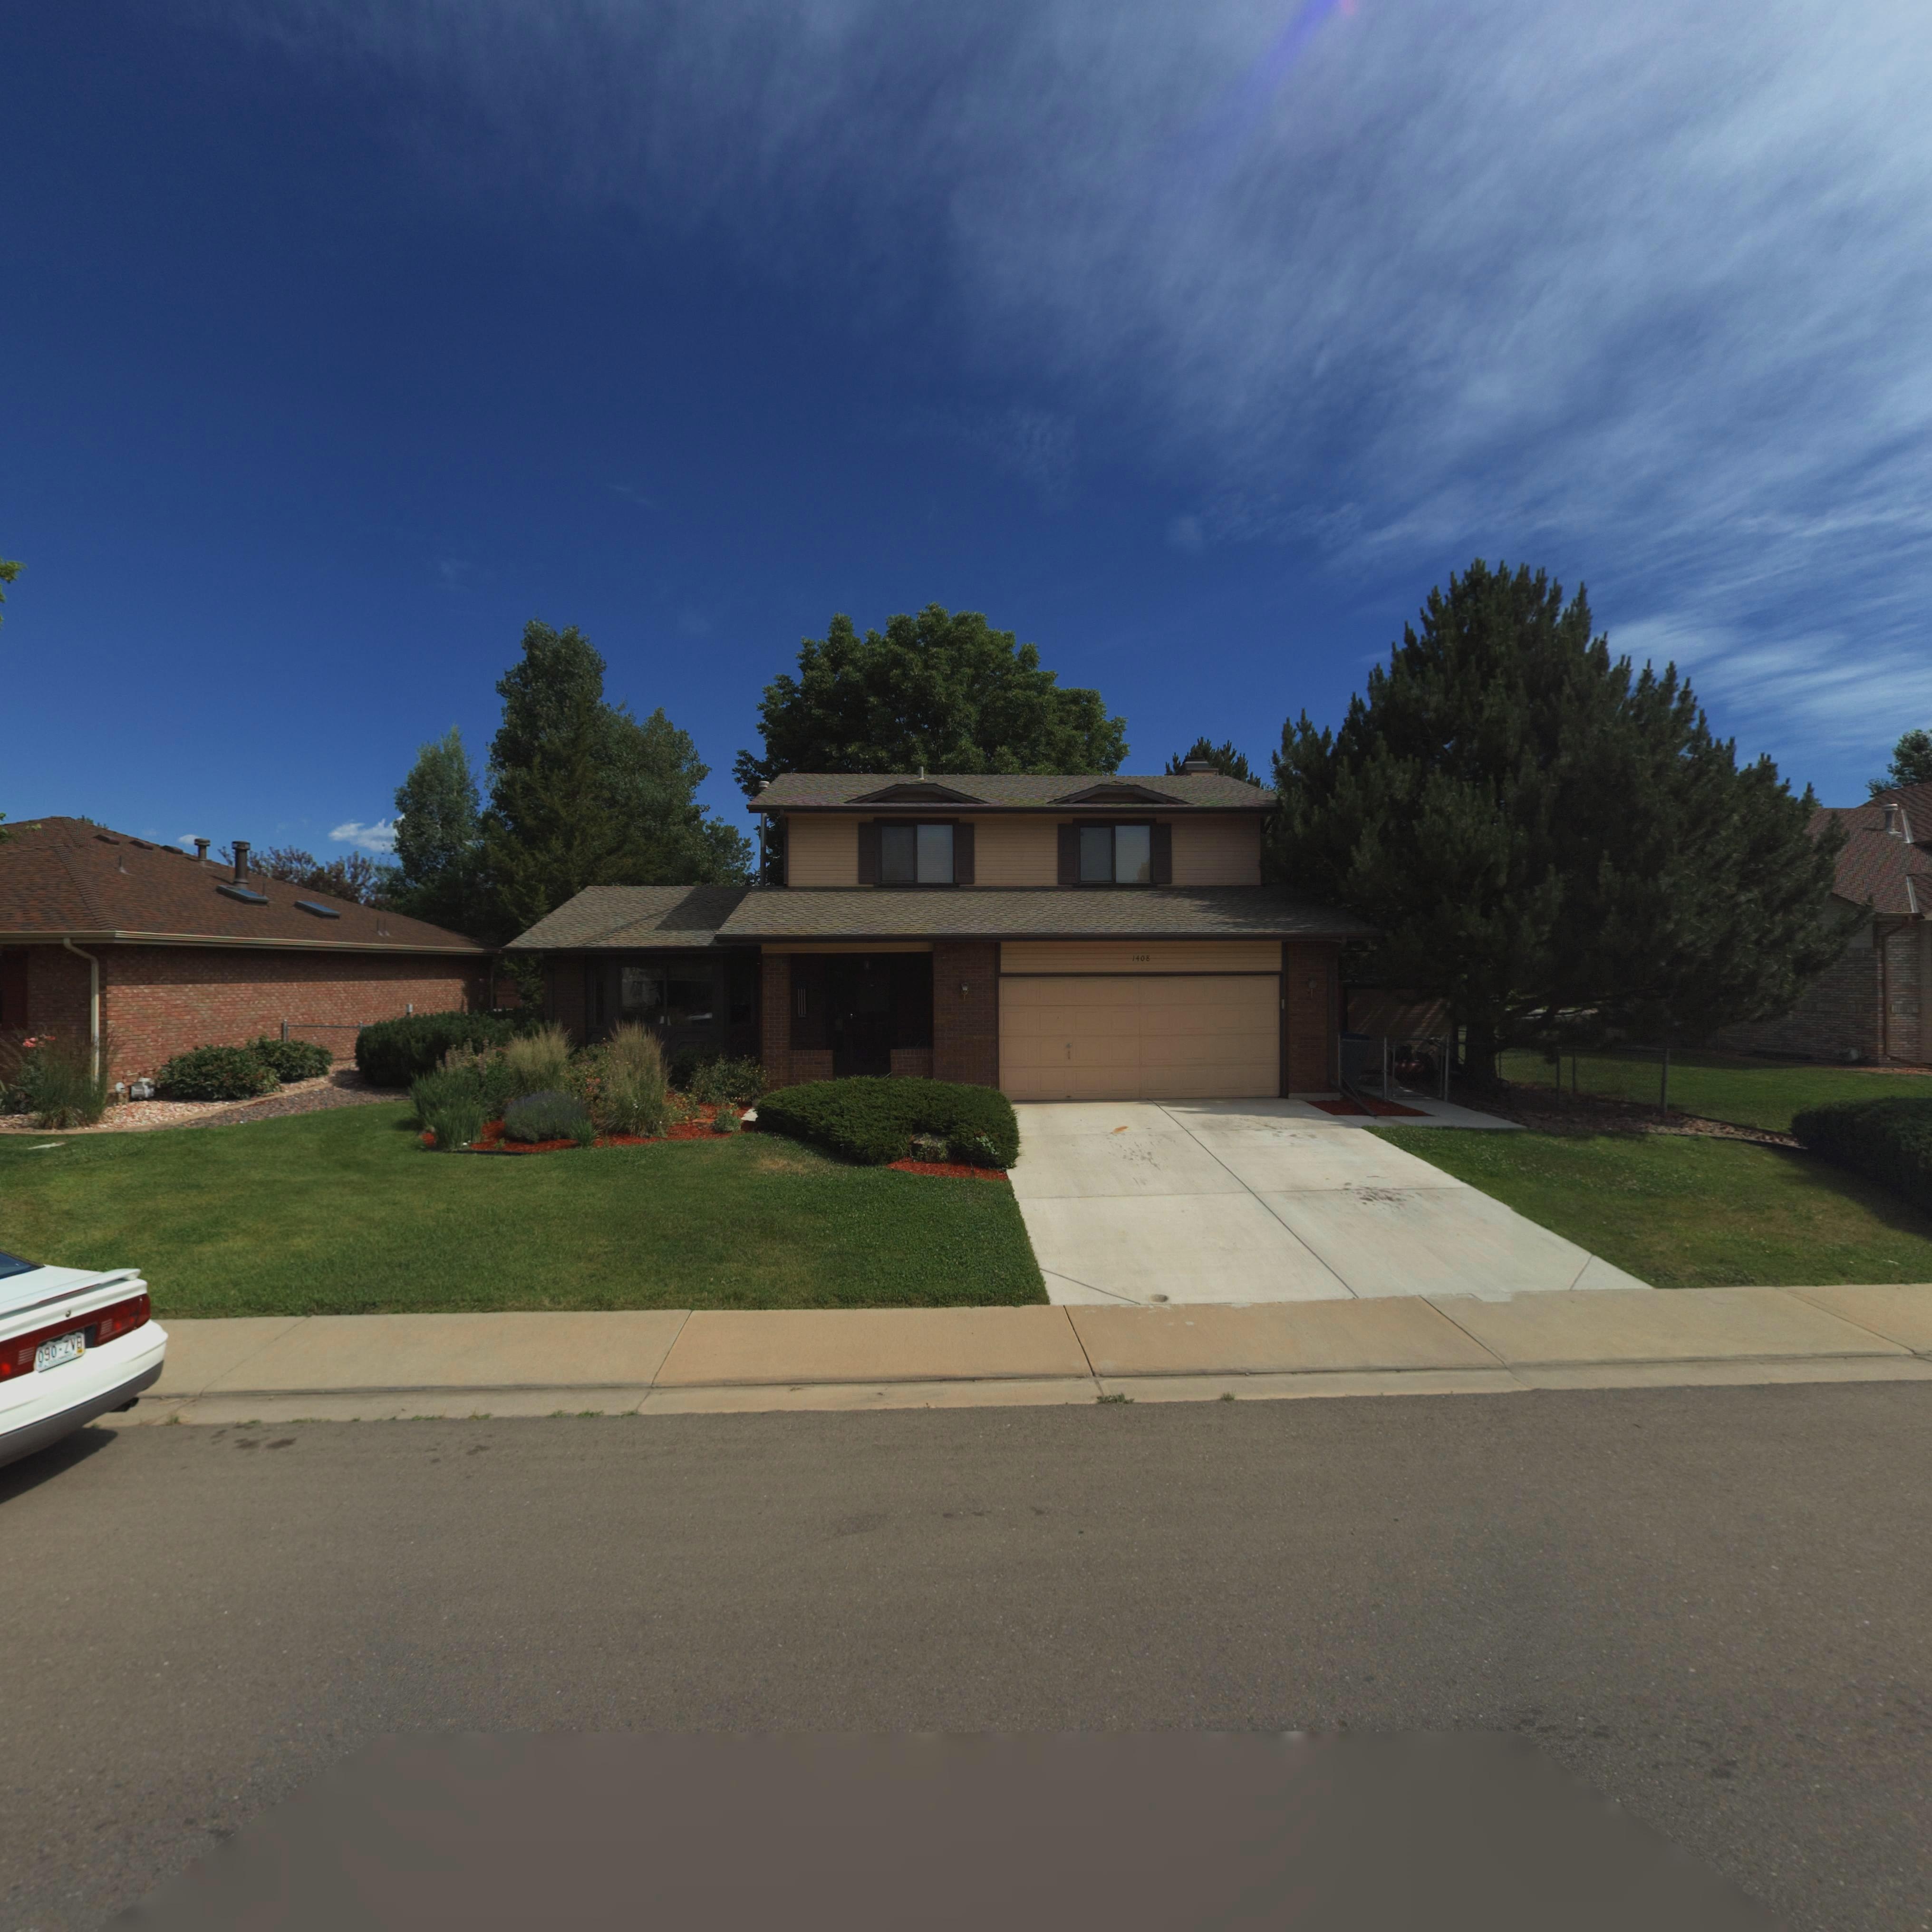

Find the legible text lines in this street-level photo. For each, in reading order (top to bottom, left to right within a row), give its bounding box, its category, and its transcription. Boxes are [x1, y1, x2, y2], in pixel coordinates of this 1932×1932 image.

[1132, 954, 1150, 962] StreetNumber: 1408